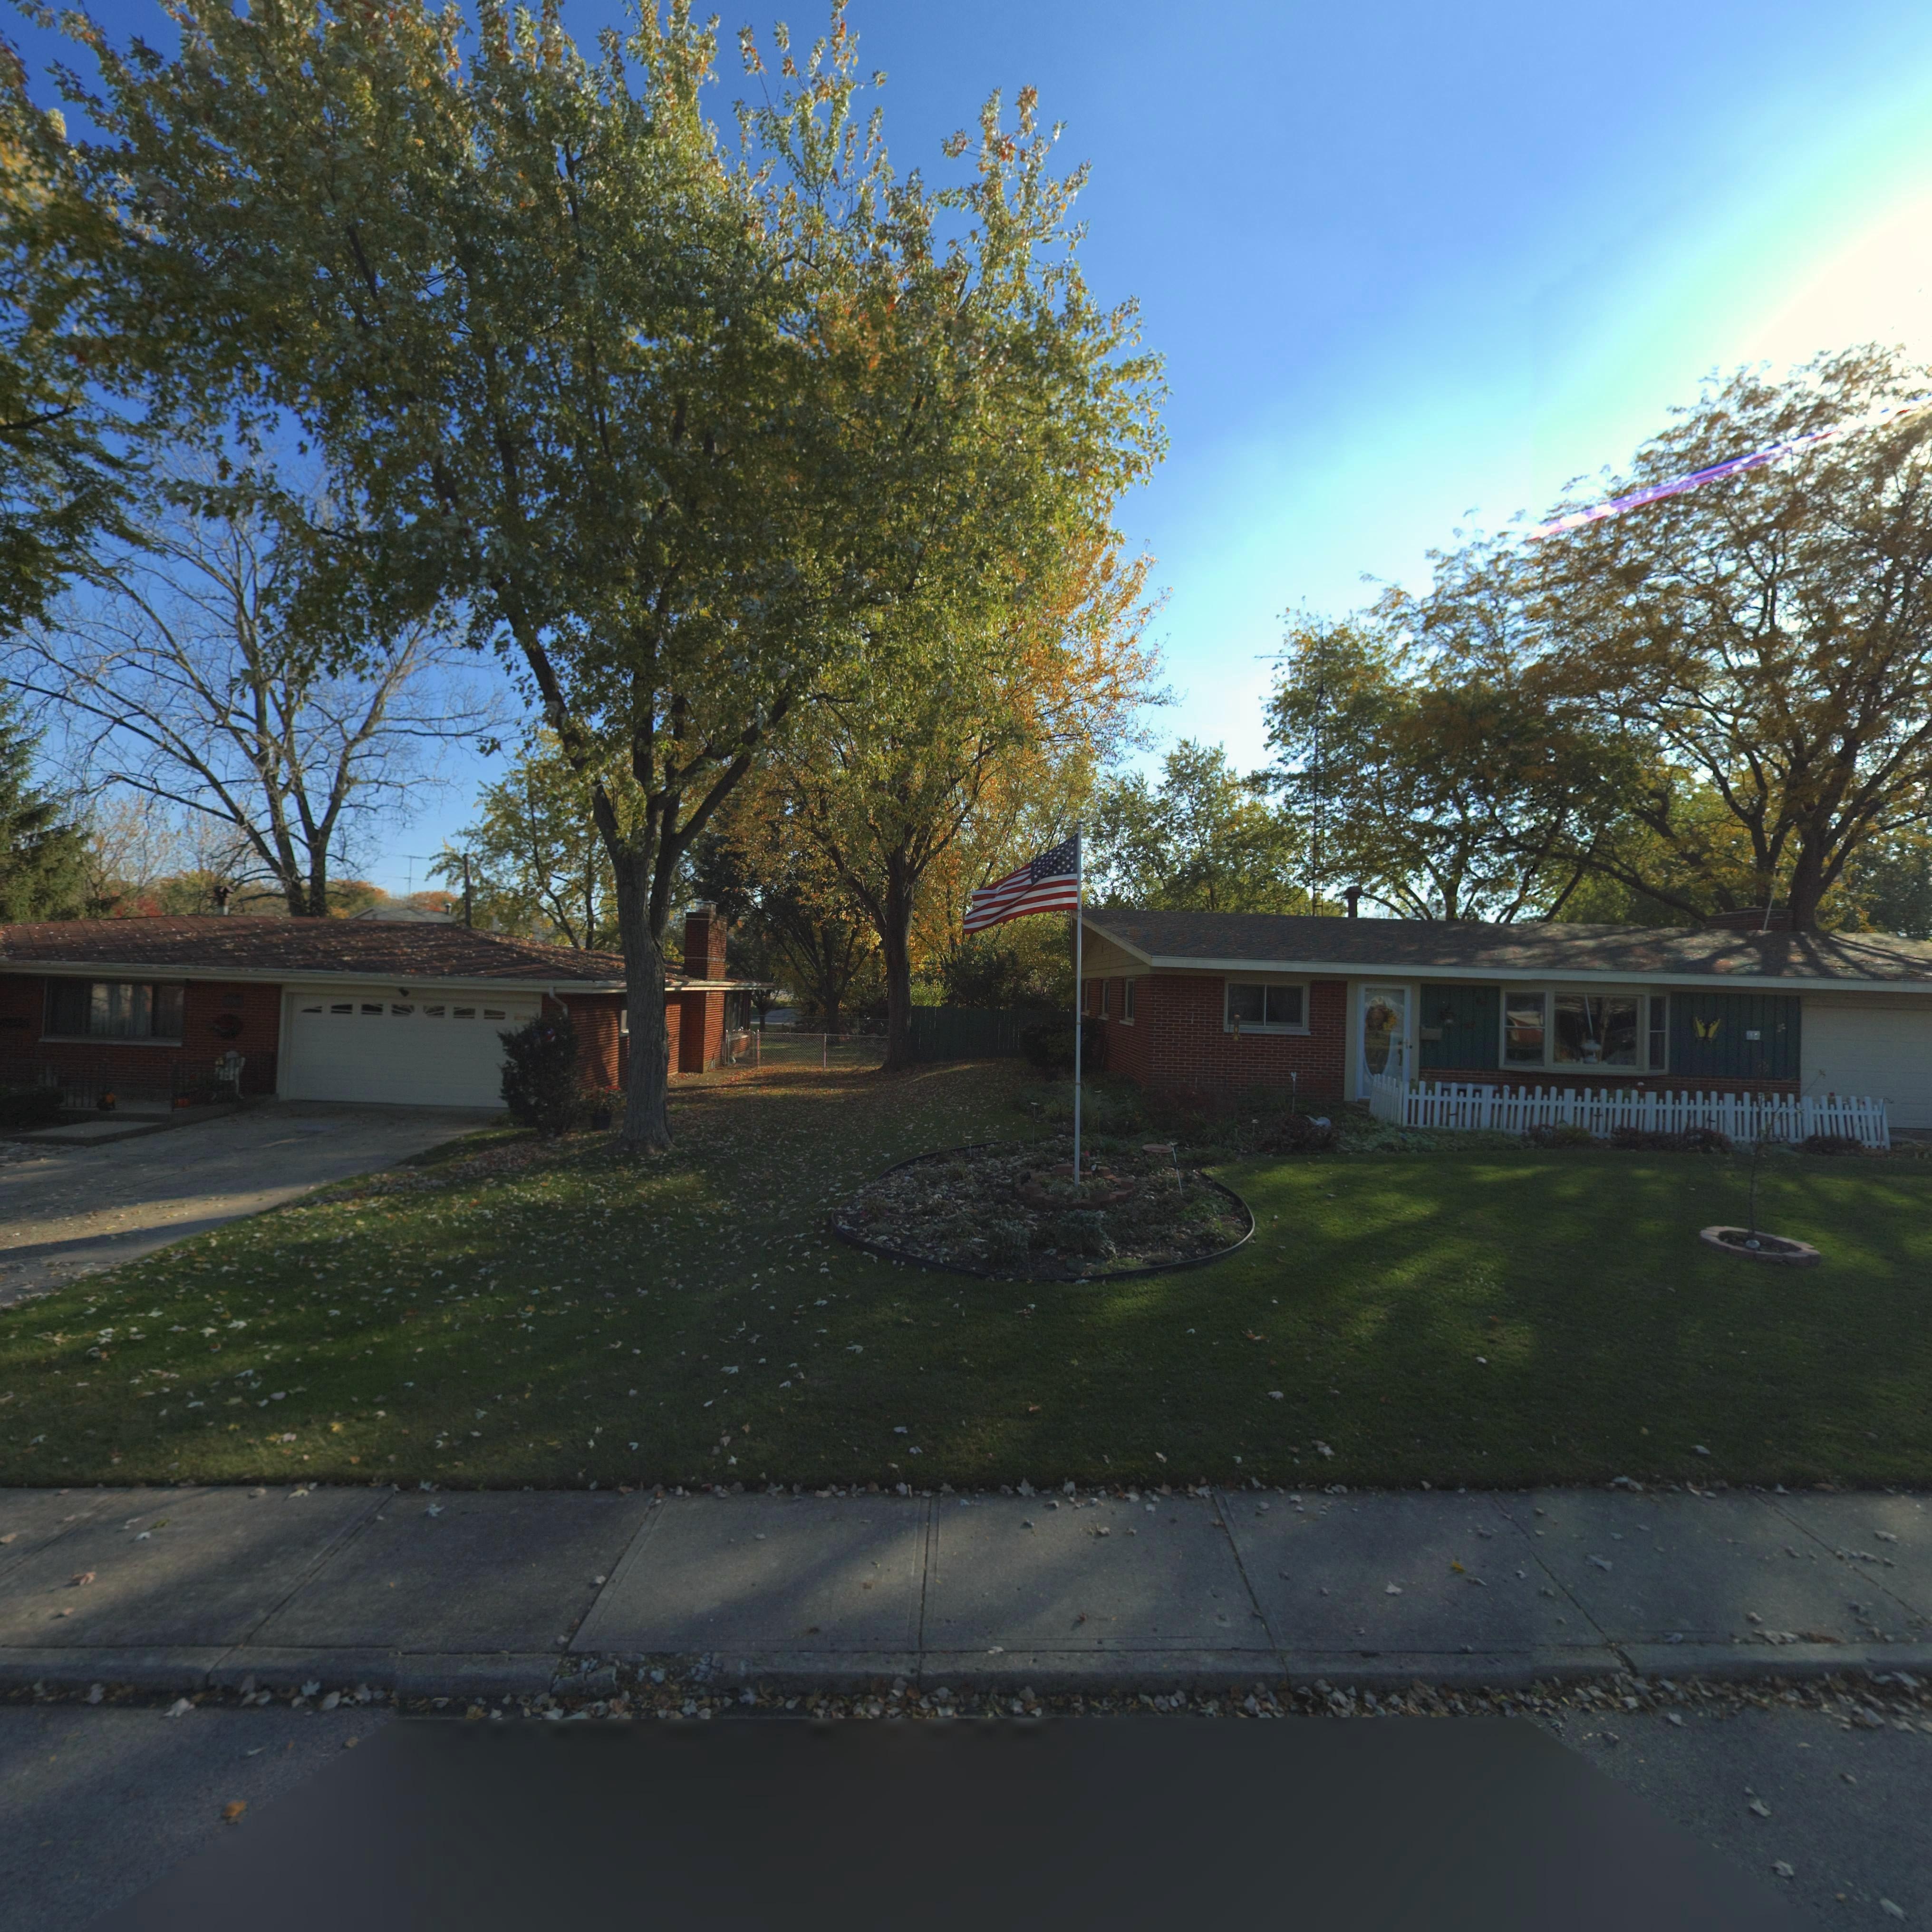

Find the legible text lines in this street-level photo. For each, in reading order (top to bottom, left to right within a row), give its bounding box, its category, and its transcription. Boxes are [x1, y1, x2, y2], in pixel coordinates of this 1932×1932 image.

[1746, 1031, 1759, 1039] StreetNumber: 816